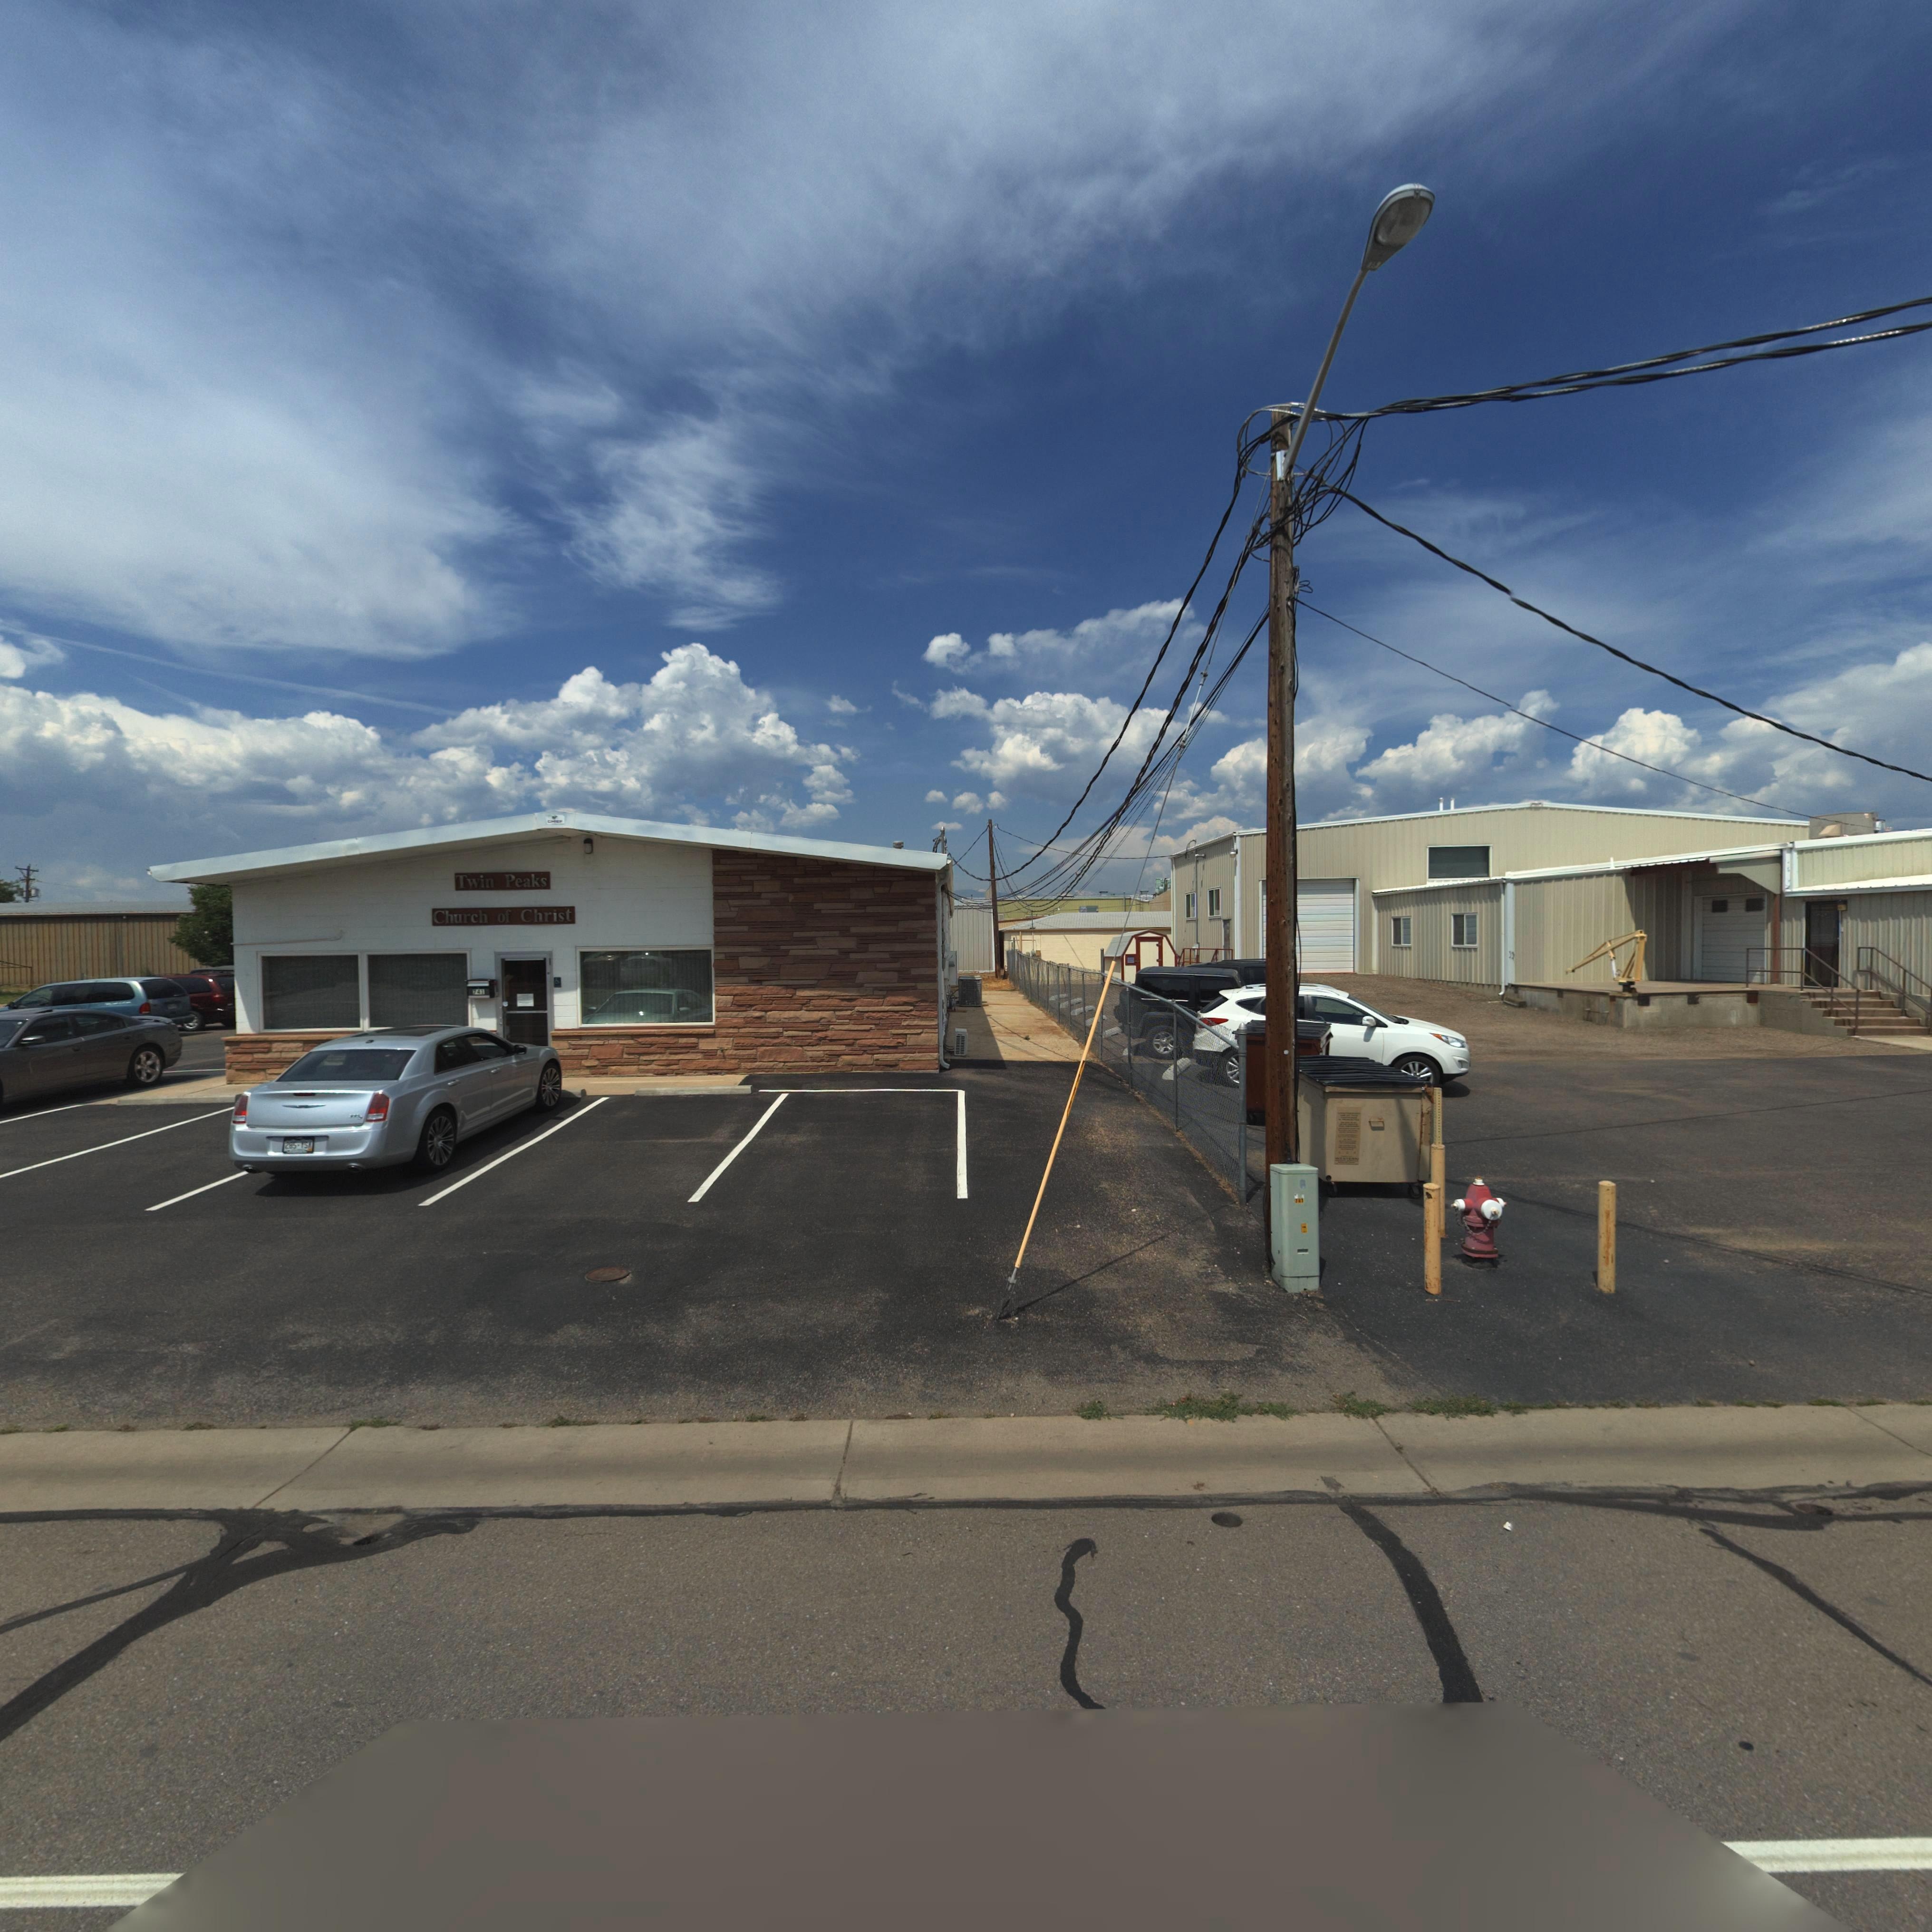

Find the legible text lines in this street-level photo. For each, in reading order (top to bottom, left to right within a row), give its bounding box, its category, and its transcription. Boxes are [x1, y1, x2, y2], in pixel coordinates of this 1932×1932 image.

[455, 873, 547, 889] BusinessName: Twin Peaks
[432, 908, 571, 925] BusinessName: Church of Christ 
[473, 989, 484, 995] StreetNumber: 741